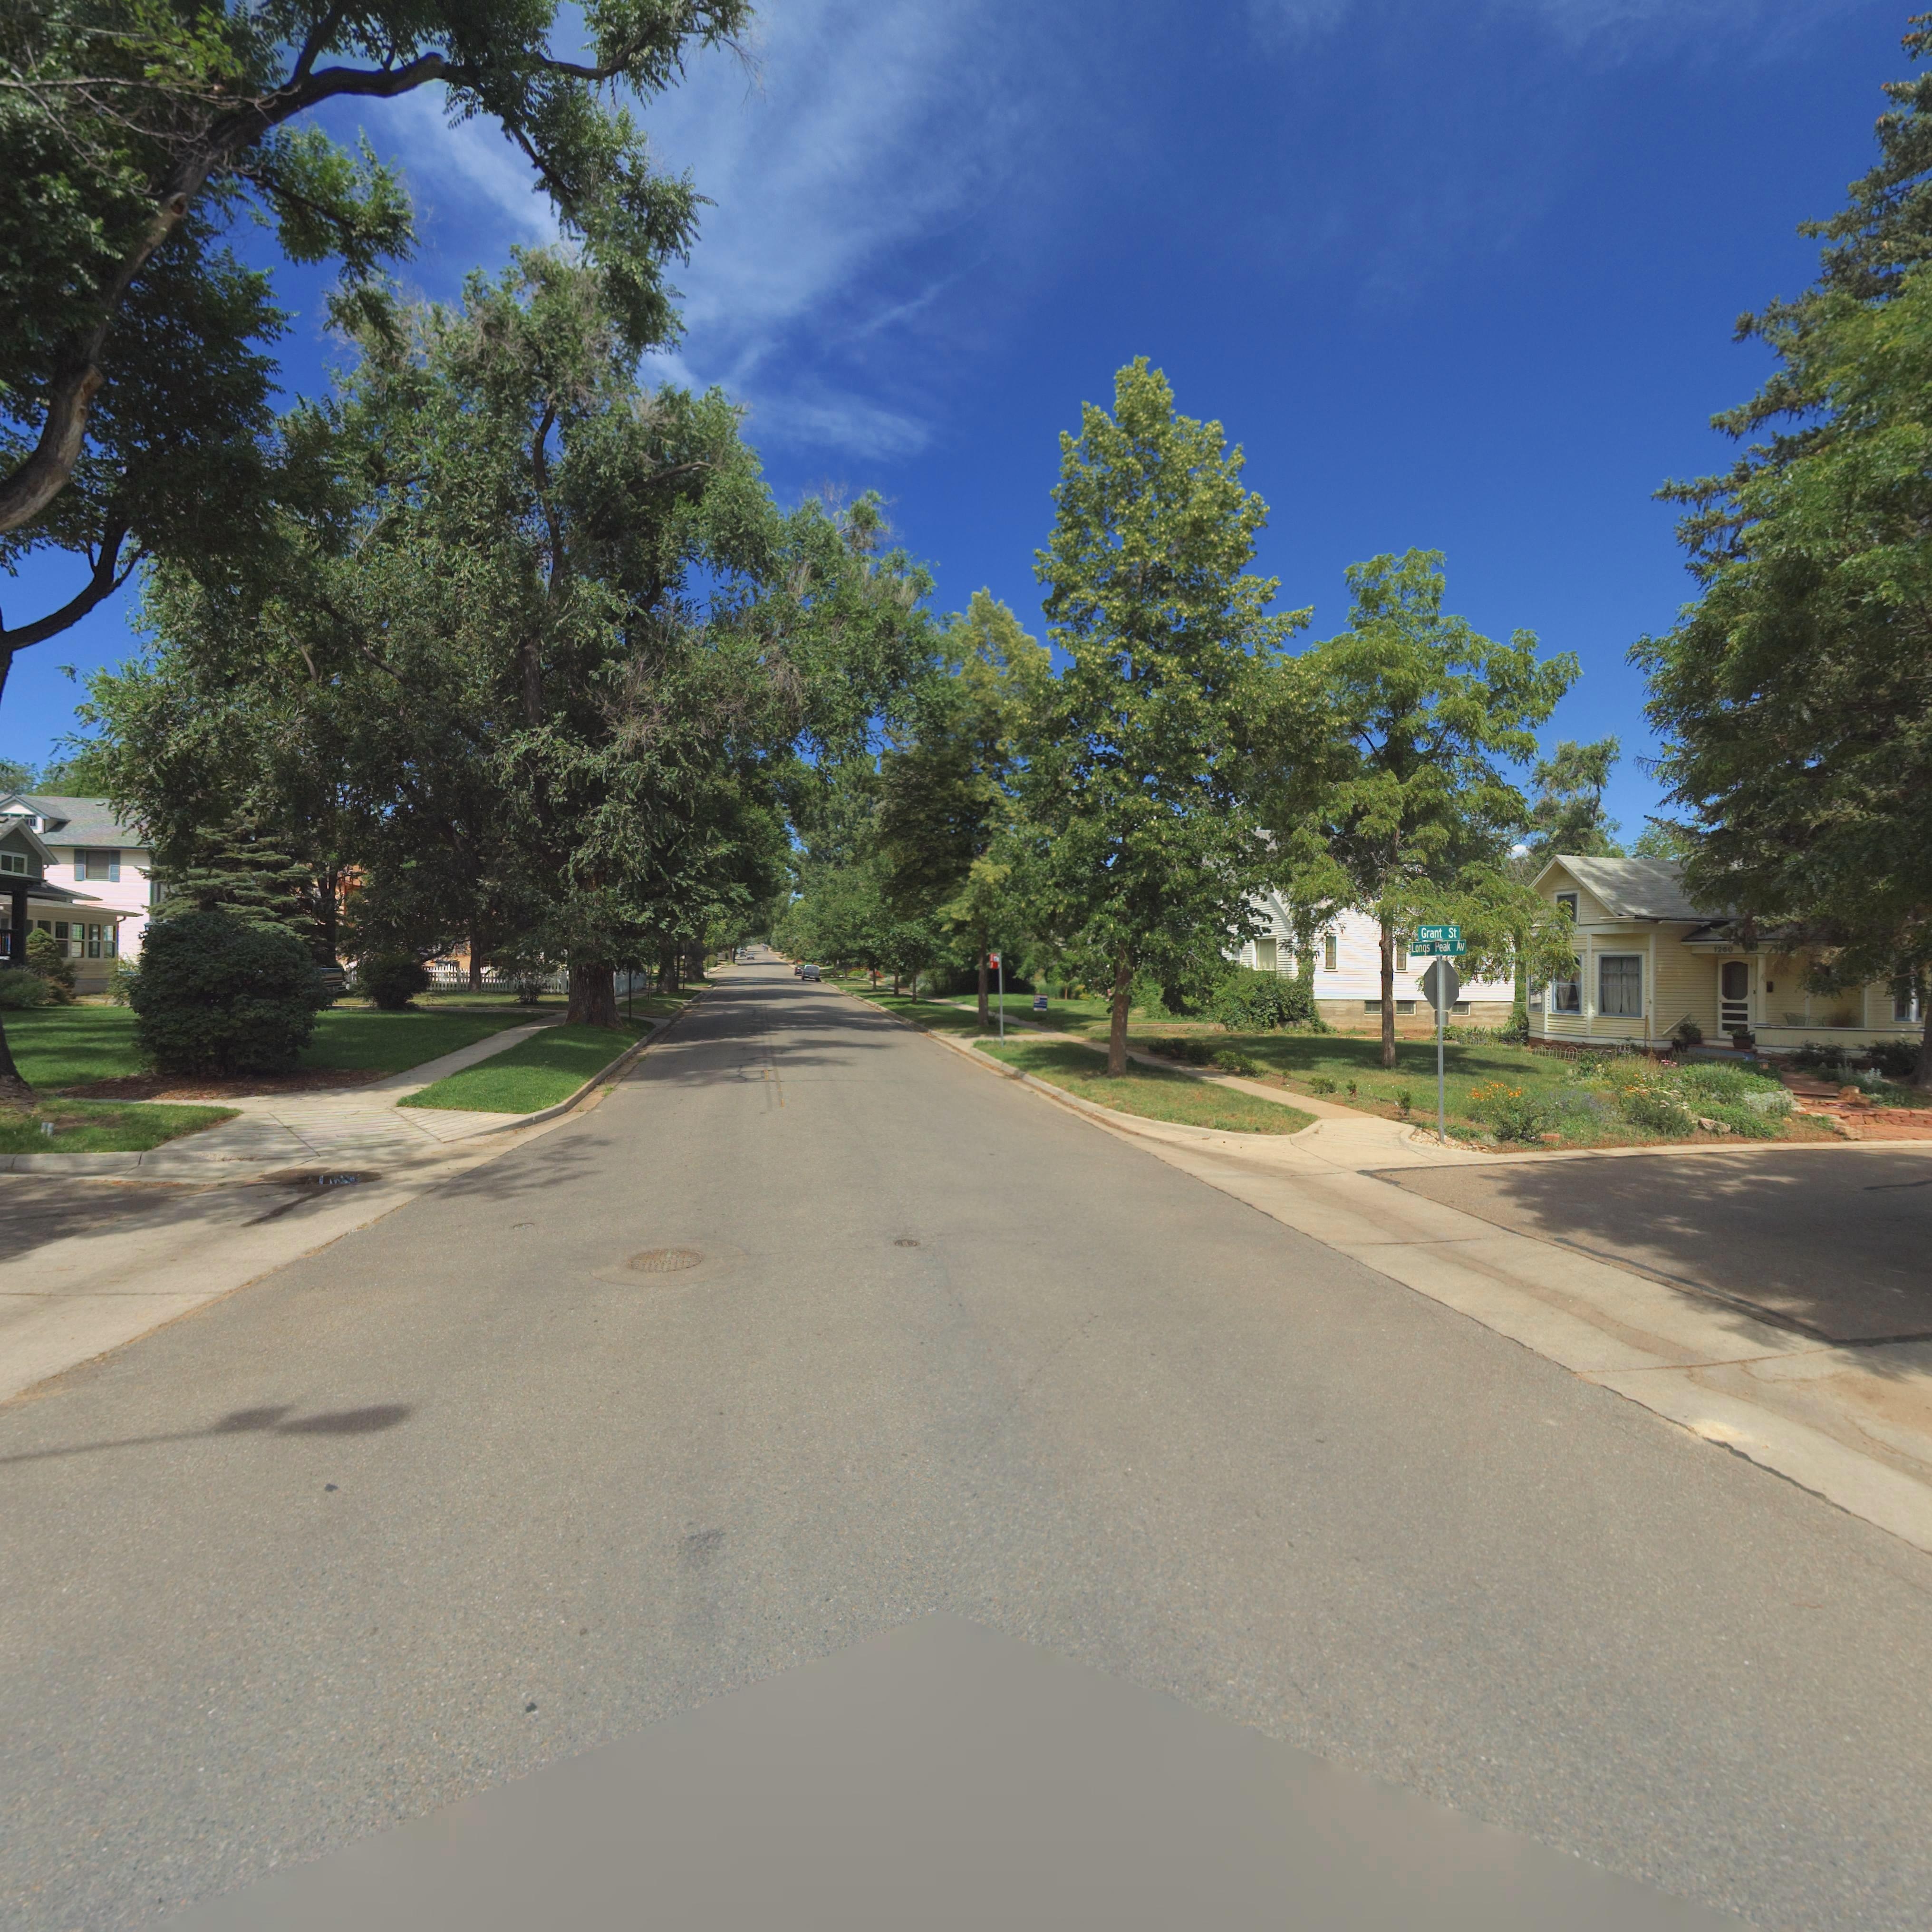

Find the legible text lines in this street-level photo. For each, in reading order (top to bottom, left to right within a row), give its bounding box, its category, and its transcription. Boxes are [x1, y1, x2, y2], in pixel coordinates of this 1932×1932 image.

[1421, 927, 1458, 938] StreetName: Grant St
[1411, 940, 1465, 955] StreetName: Longs Peak Av
[1713, 946, 1733, 953] StreetNumber: 1260